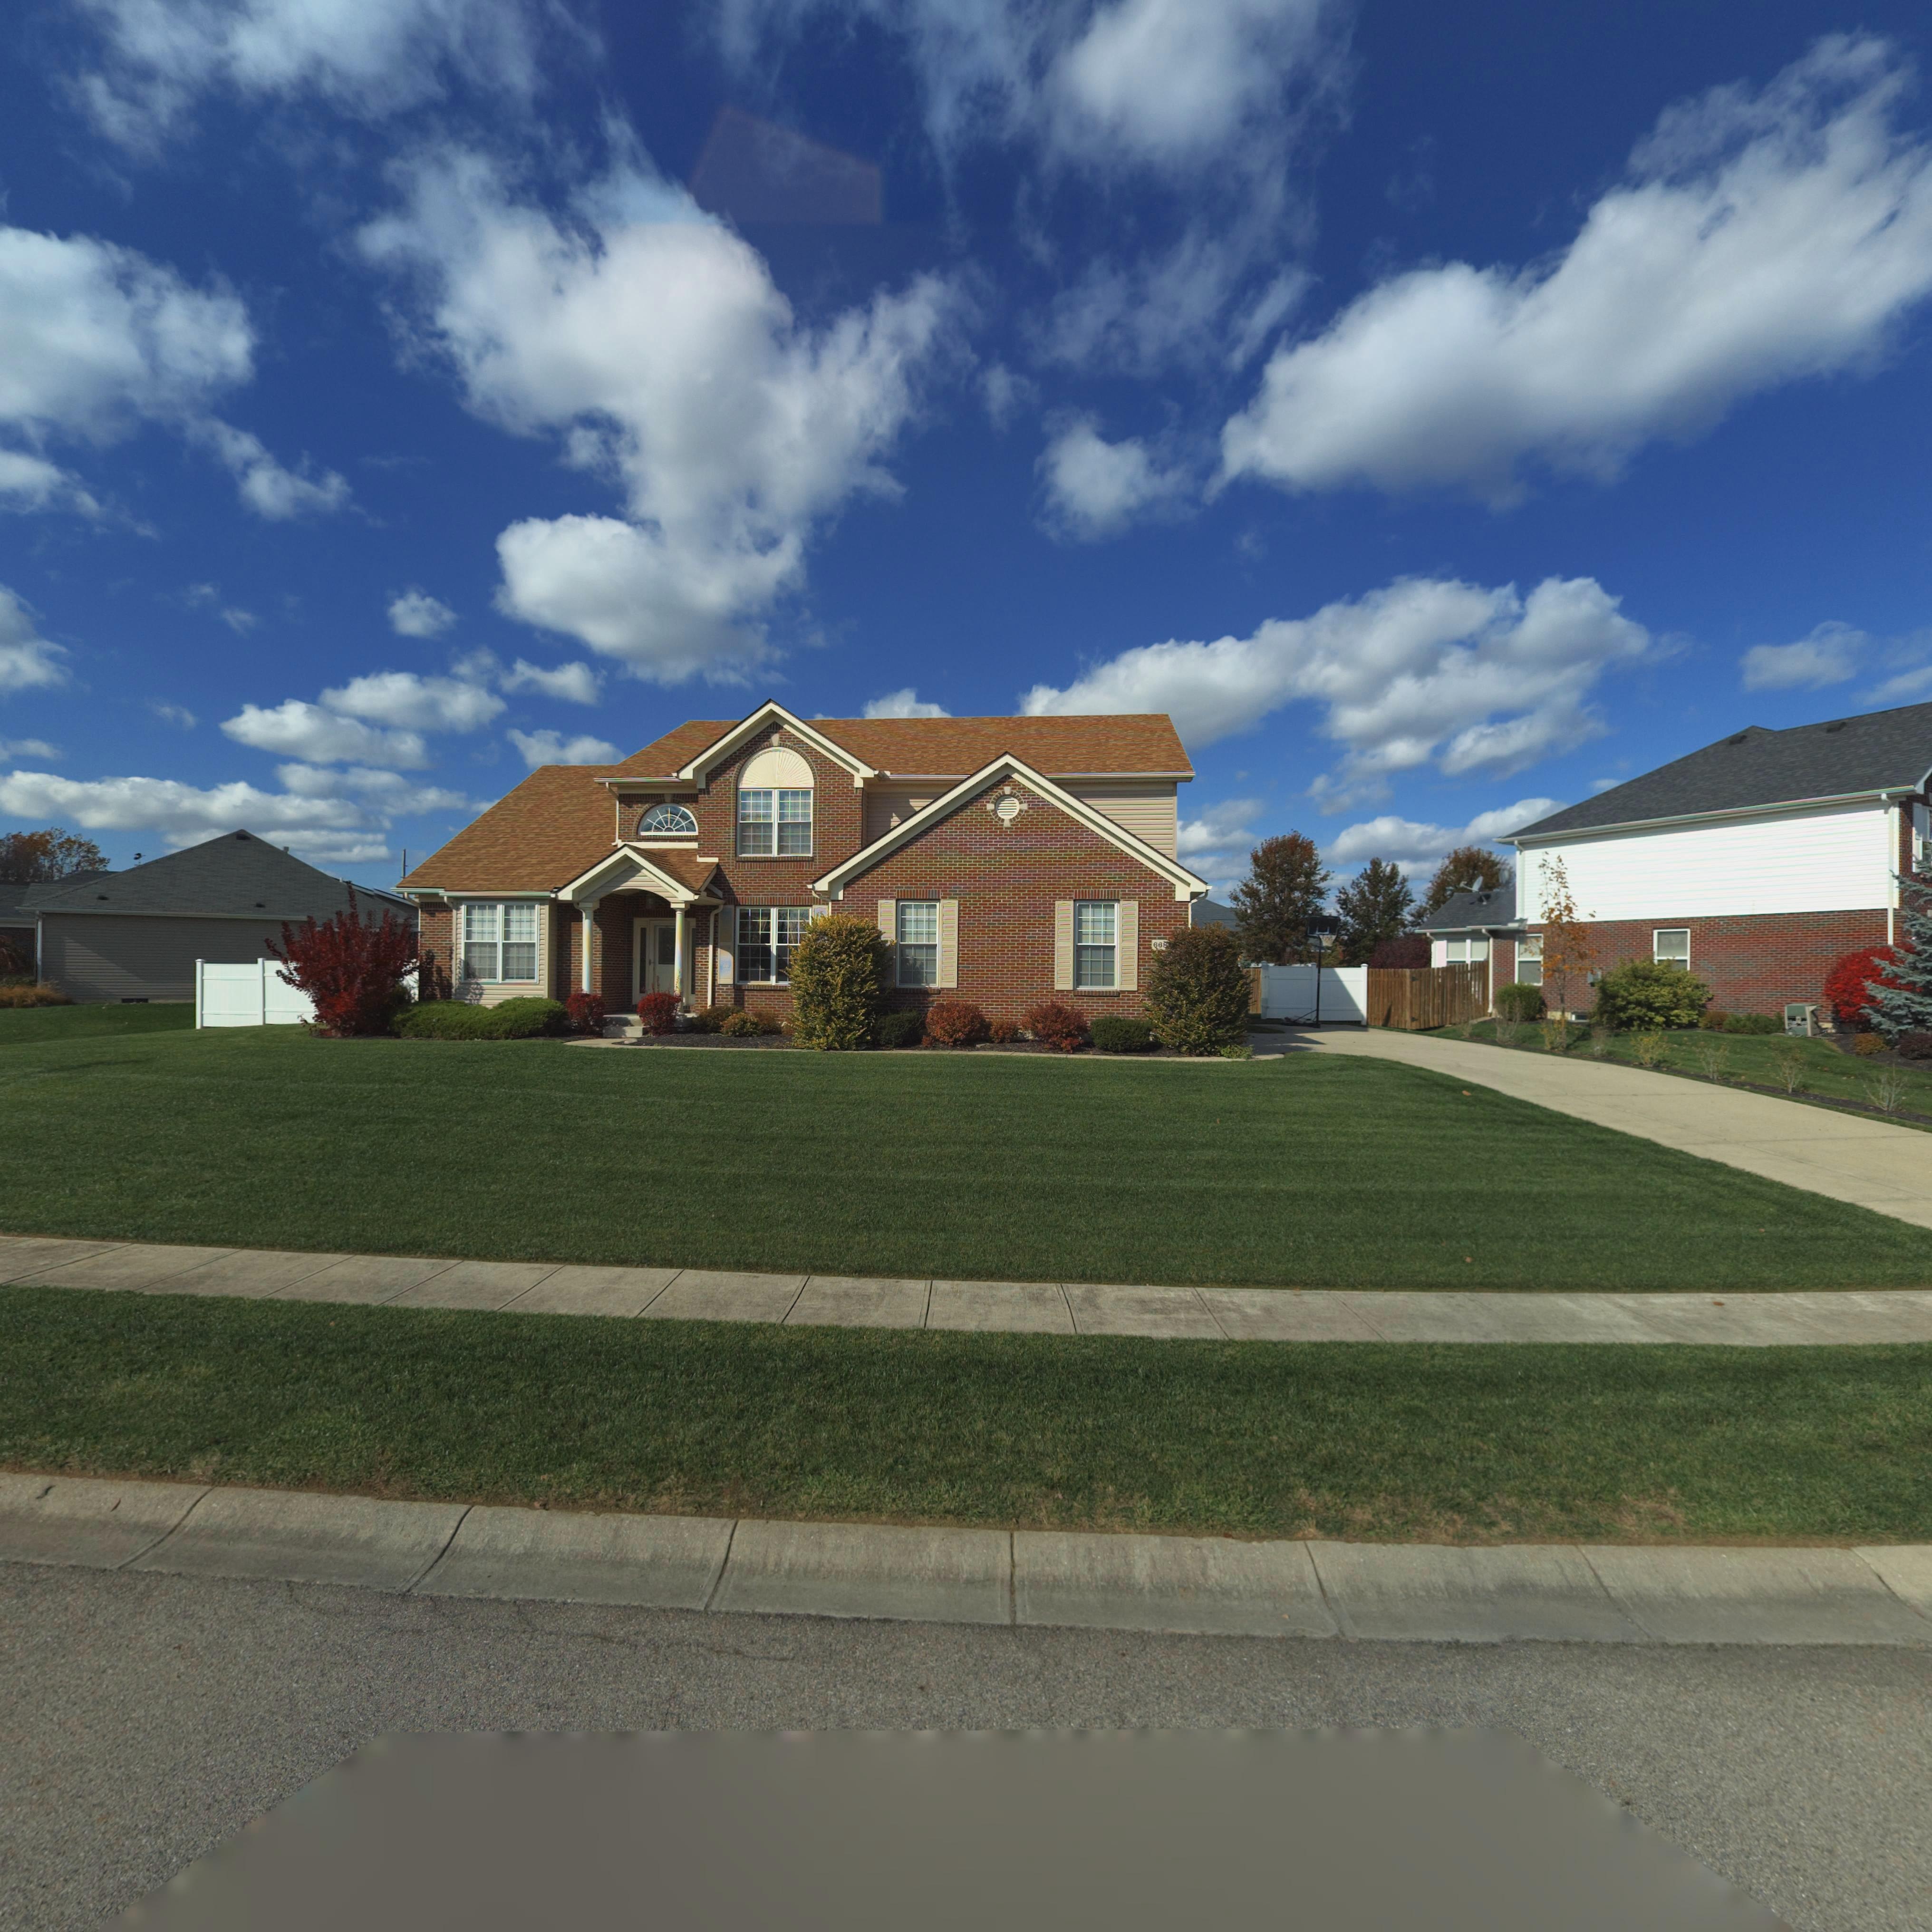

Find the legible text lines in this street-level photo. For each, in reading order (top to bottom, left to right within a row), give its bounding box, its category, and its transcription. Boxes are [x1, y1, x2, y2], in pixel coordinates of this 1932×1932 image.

[1153, 941, 1168, 949] StreetNumber: 668